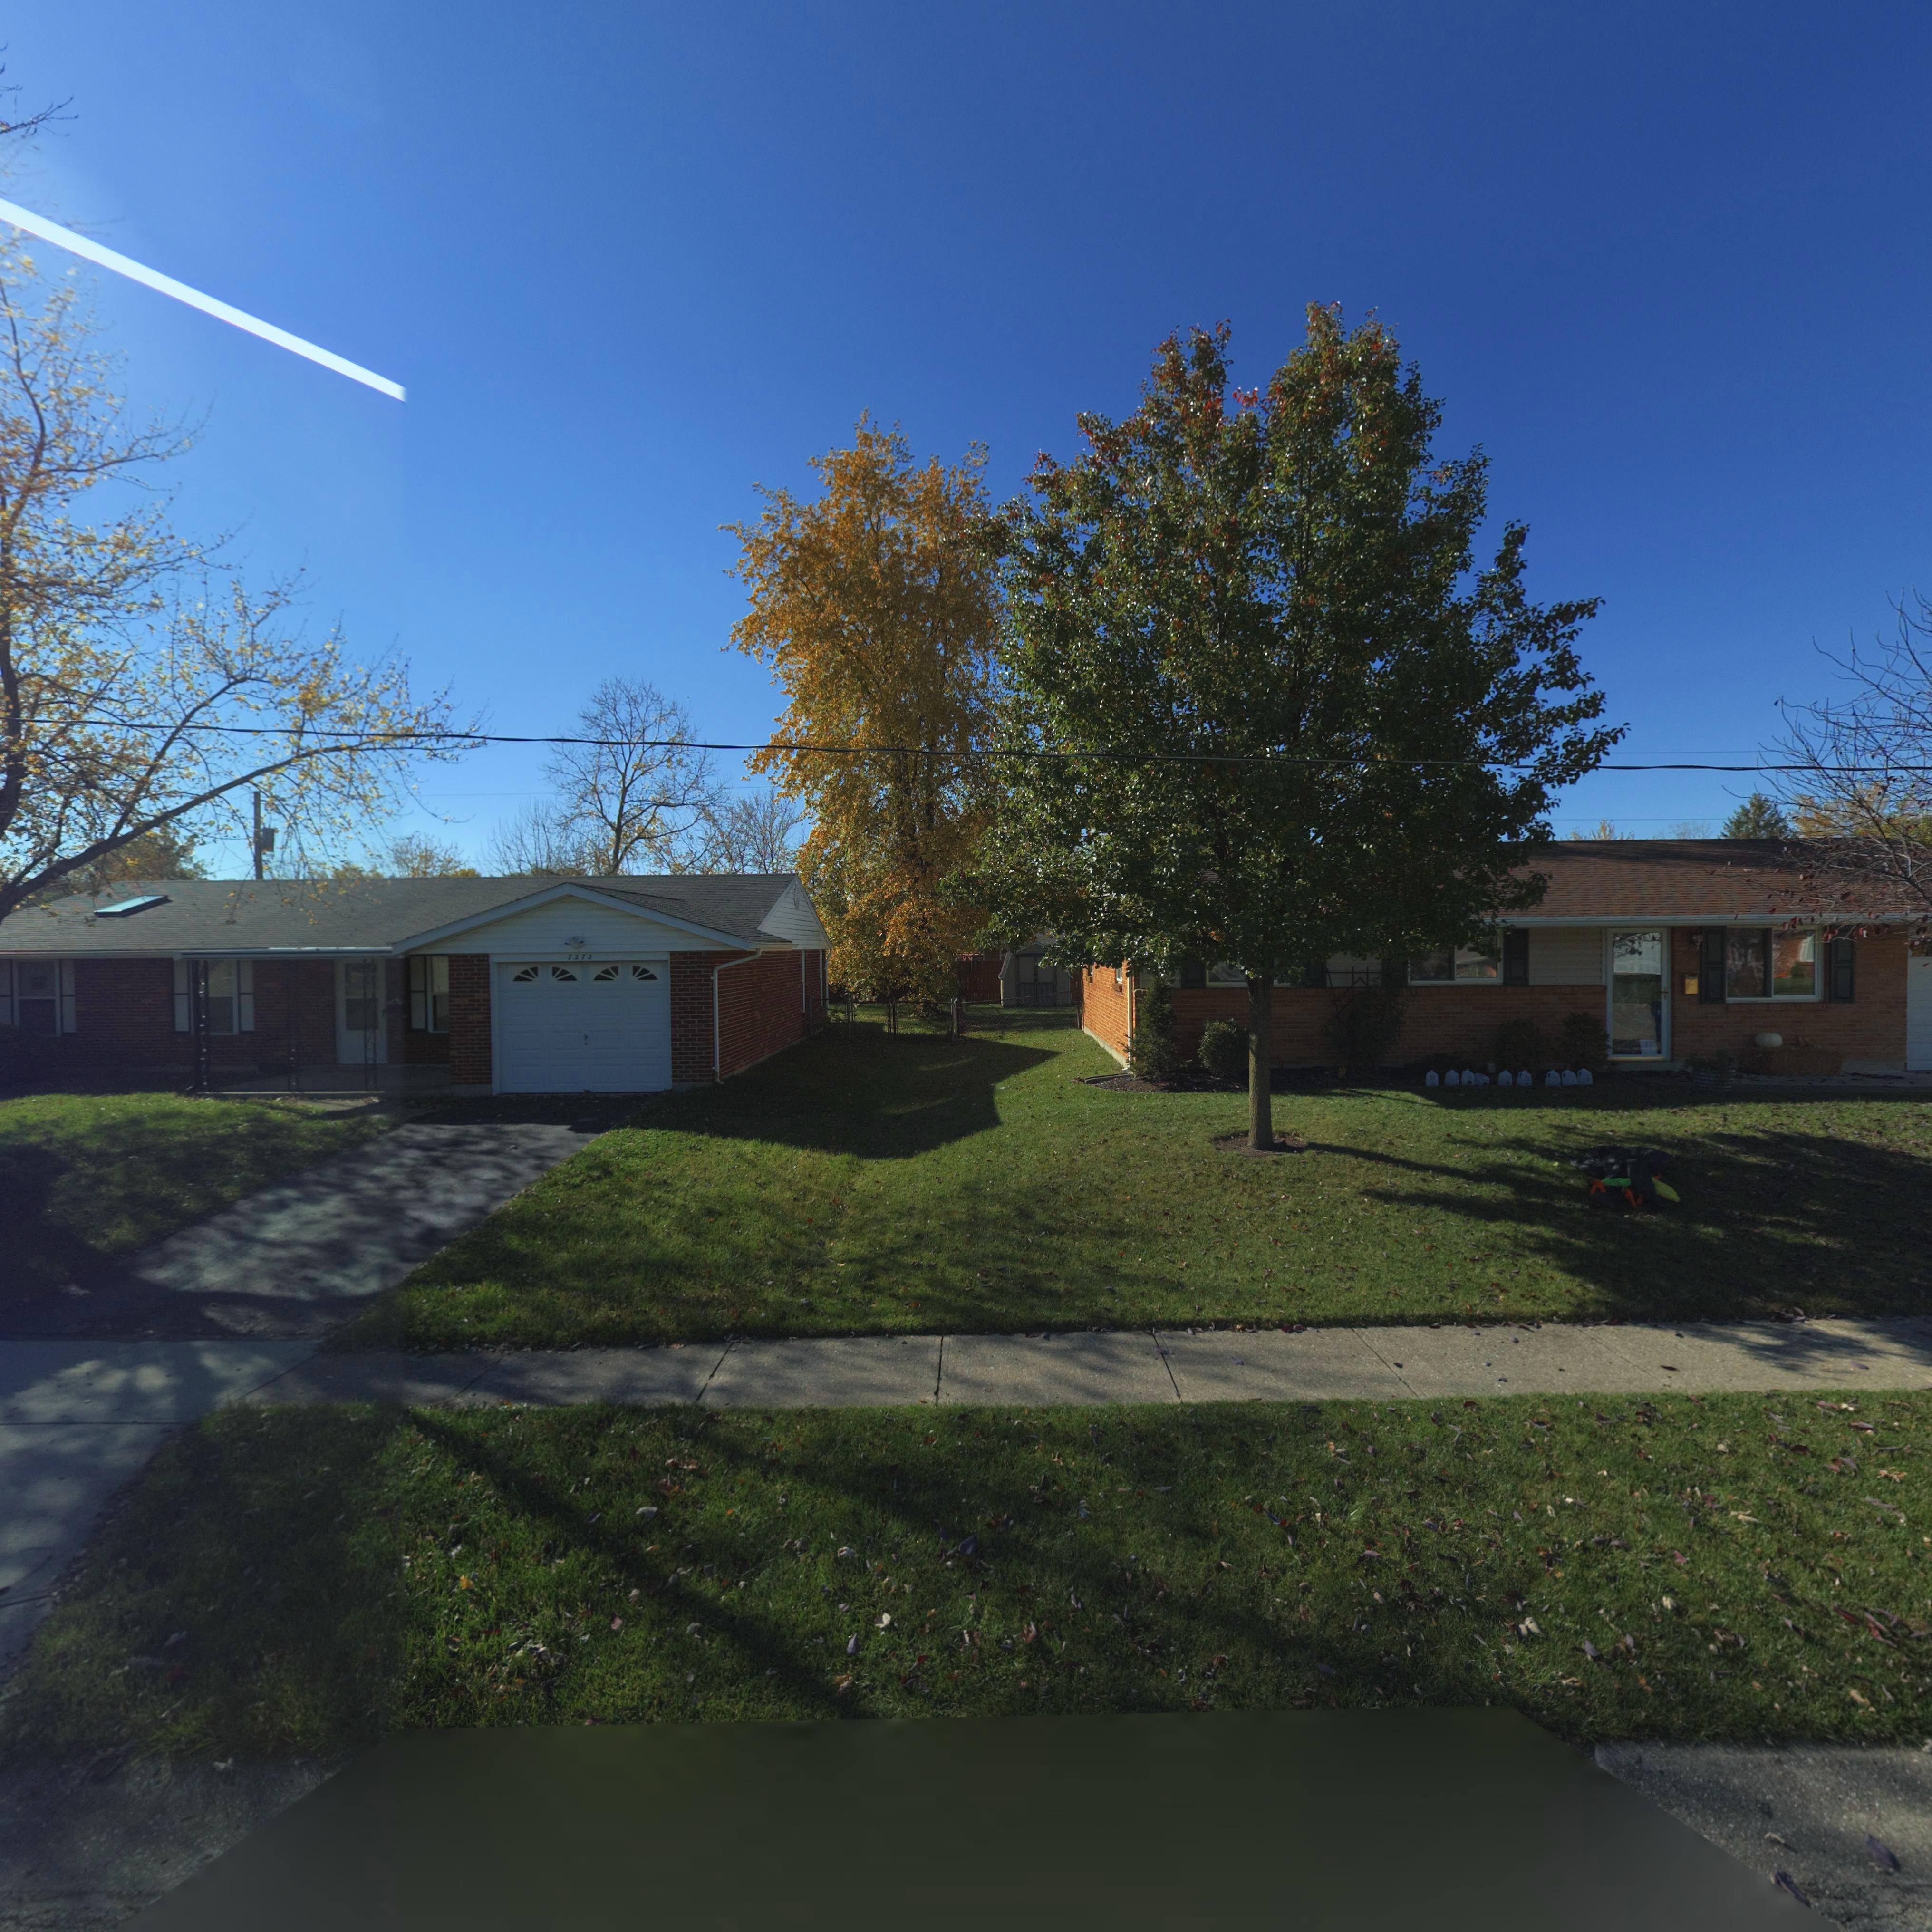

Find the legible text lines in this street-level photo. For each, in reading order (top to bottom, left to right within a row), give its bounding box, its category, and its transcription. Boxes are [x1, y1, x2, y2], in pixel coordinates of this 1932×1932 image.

[567, 953, 593, 962] StreetNumber: 7272